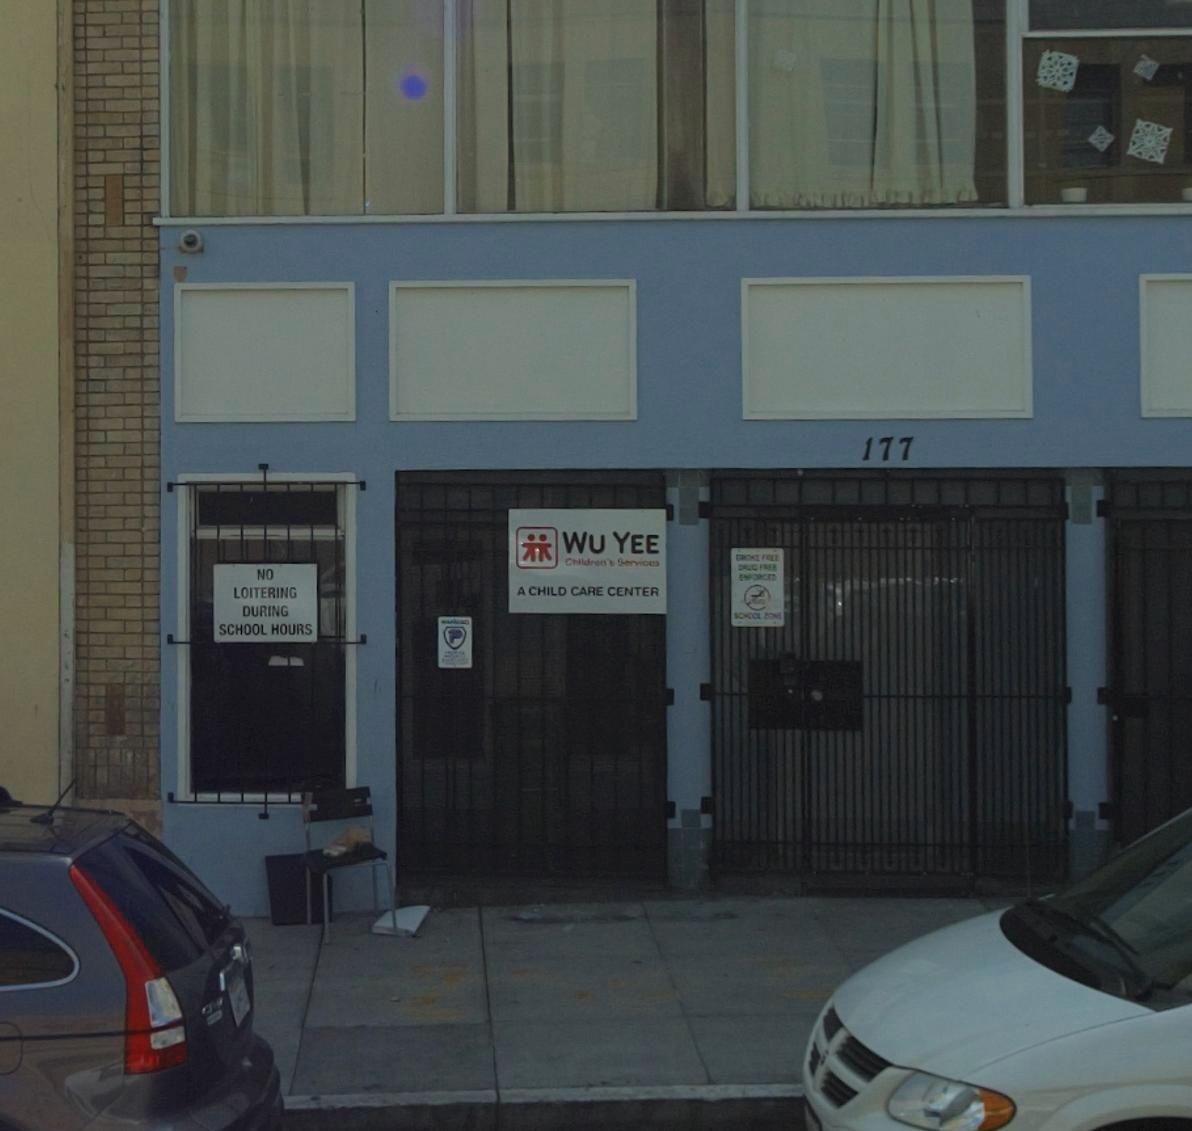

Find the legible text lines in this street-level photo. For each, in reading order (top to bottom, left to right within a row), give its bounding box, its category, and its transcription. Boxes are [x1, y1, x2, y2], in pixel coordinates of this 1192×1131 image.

[859, 432, 918, 465] StreetNumber: 177
[561, 529, 660, 556] BusinessName: WU YEE
[563, 555, 661, 569] None: Children's Services
[254, 566, 275, 582] None: NO
[231, 584, 298, 601] None: LOITERING
[514, 583, 661, 599] None: A CHILD CARE CENTER
[240, 603, 291, 619] None: DURING
[214, 622, 316, 639] None: SCHOOL HOURS